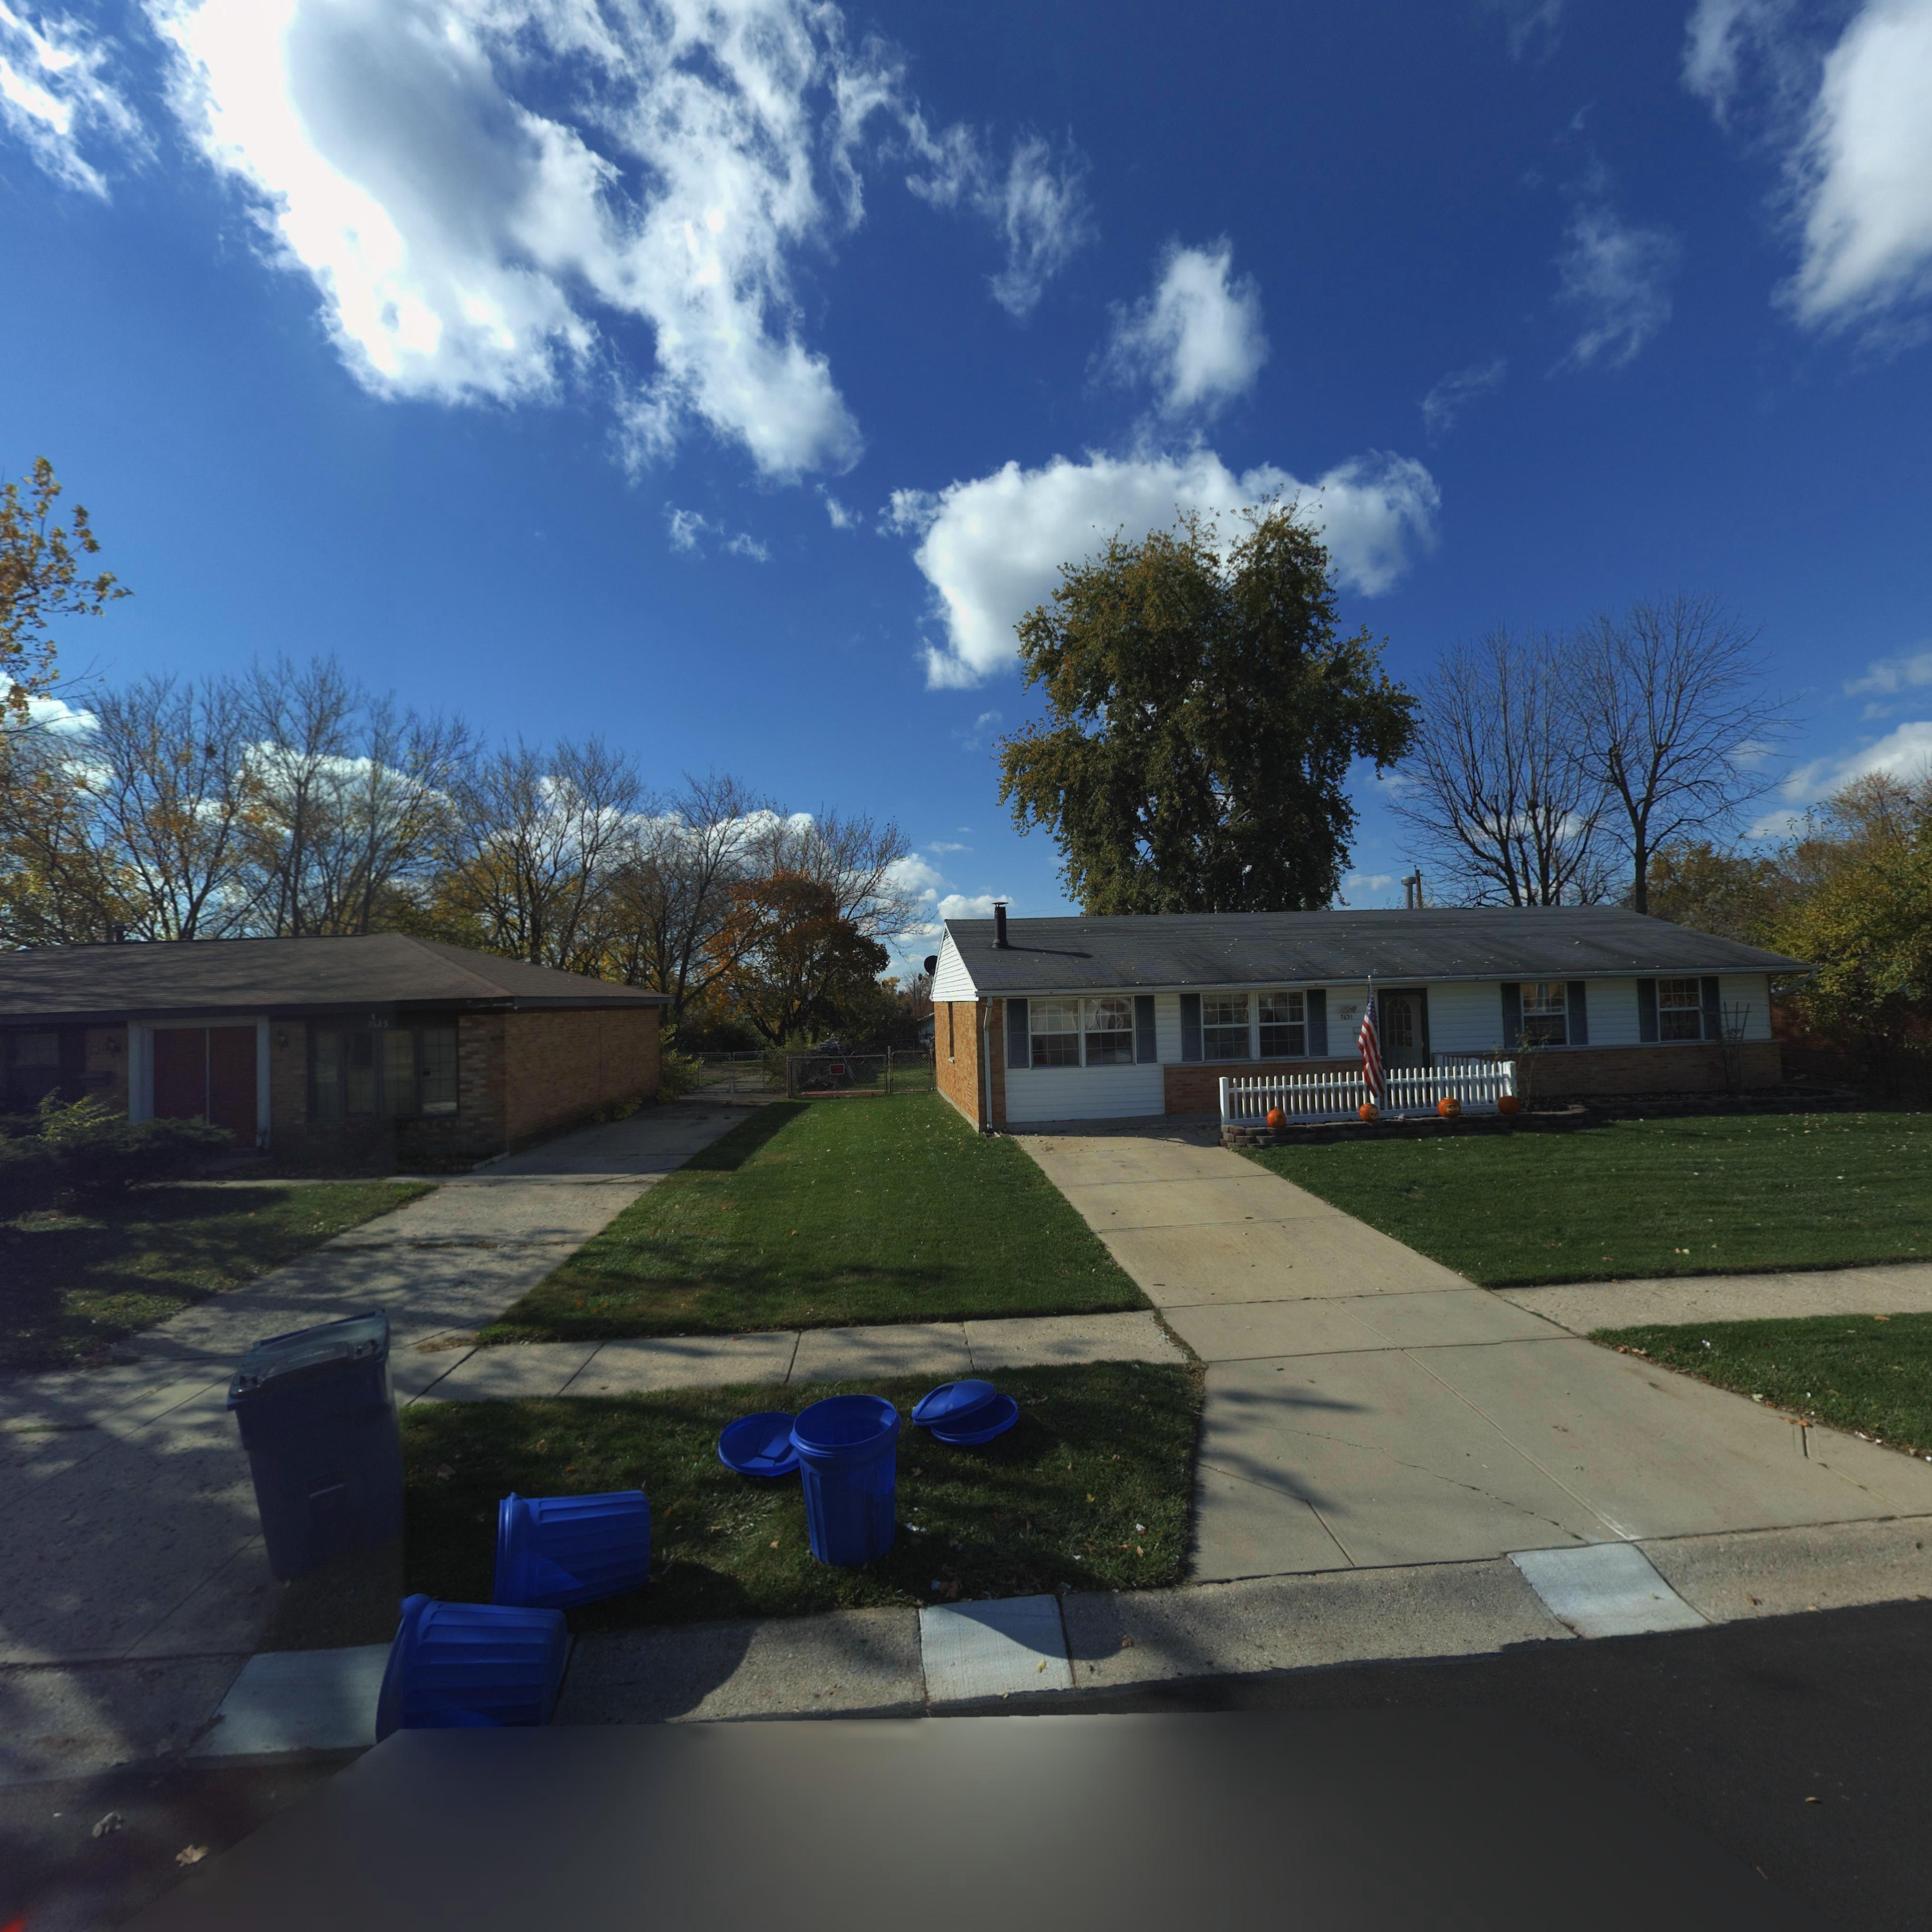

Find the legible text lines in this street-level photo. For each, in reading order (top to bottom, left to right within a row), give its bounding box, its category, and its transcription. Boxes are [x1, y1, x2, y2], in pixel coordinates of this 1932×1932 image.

[1340, 1014, 1354, 1021] StreetNumber: 7631
[366, 1018, 390, 1028] StreetNumber: 7625